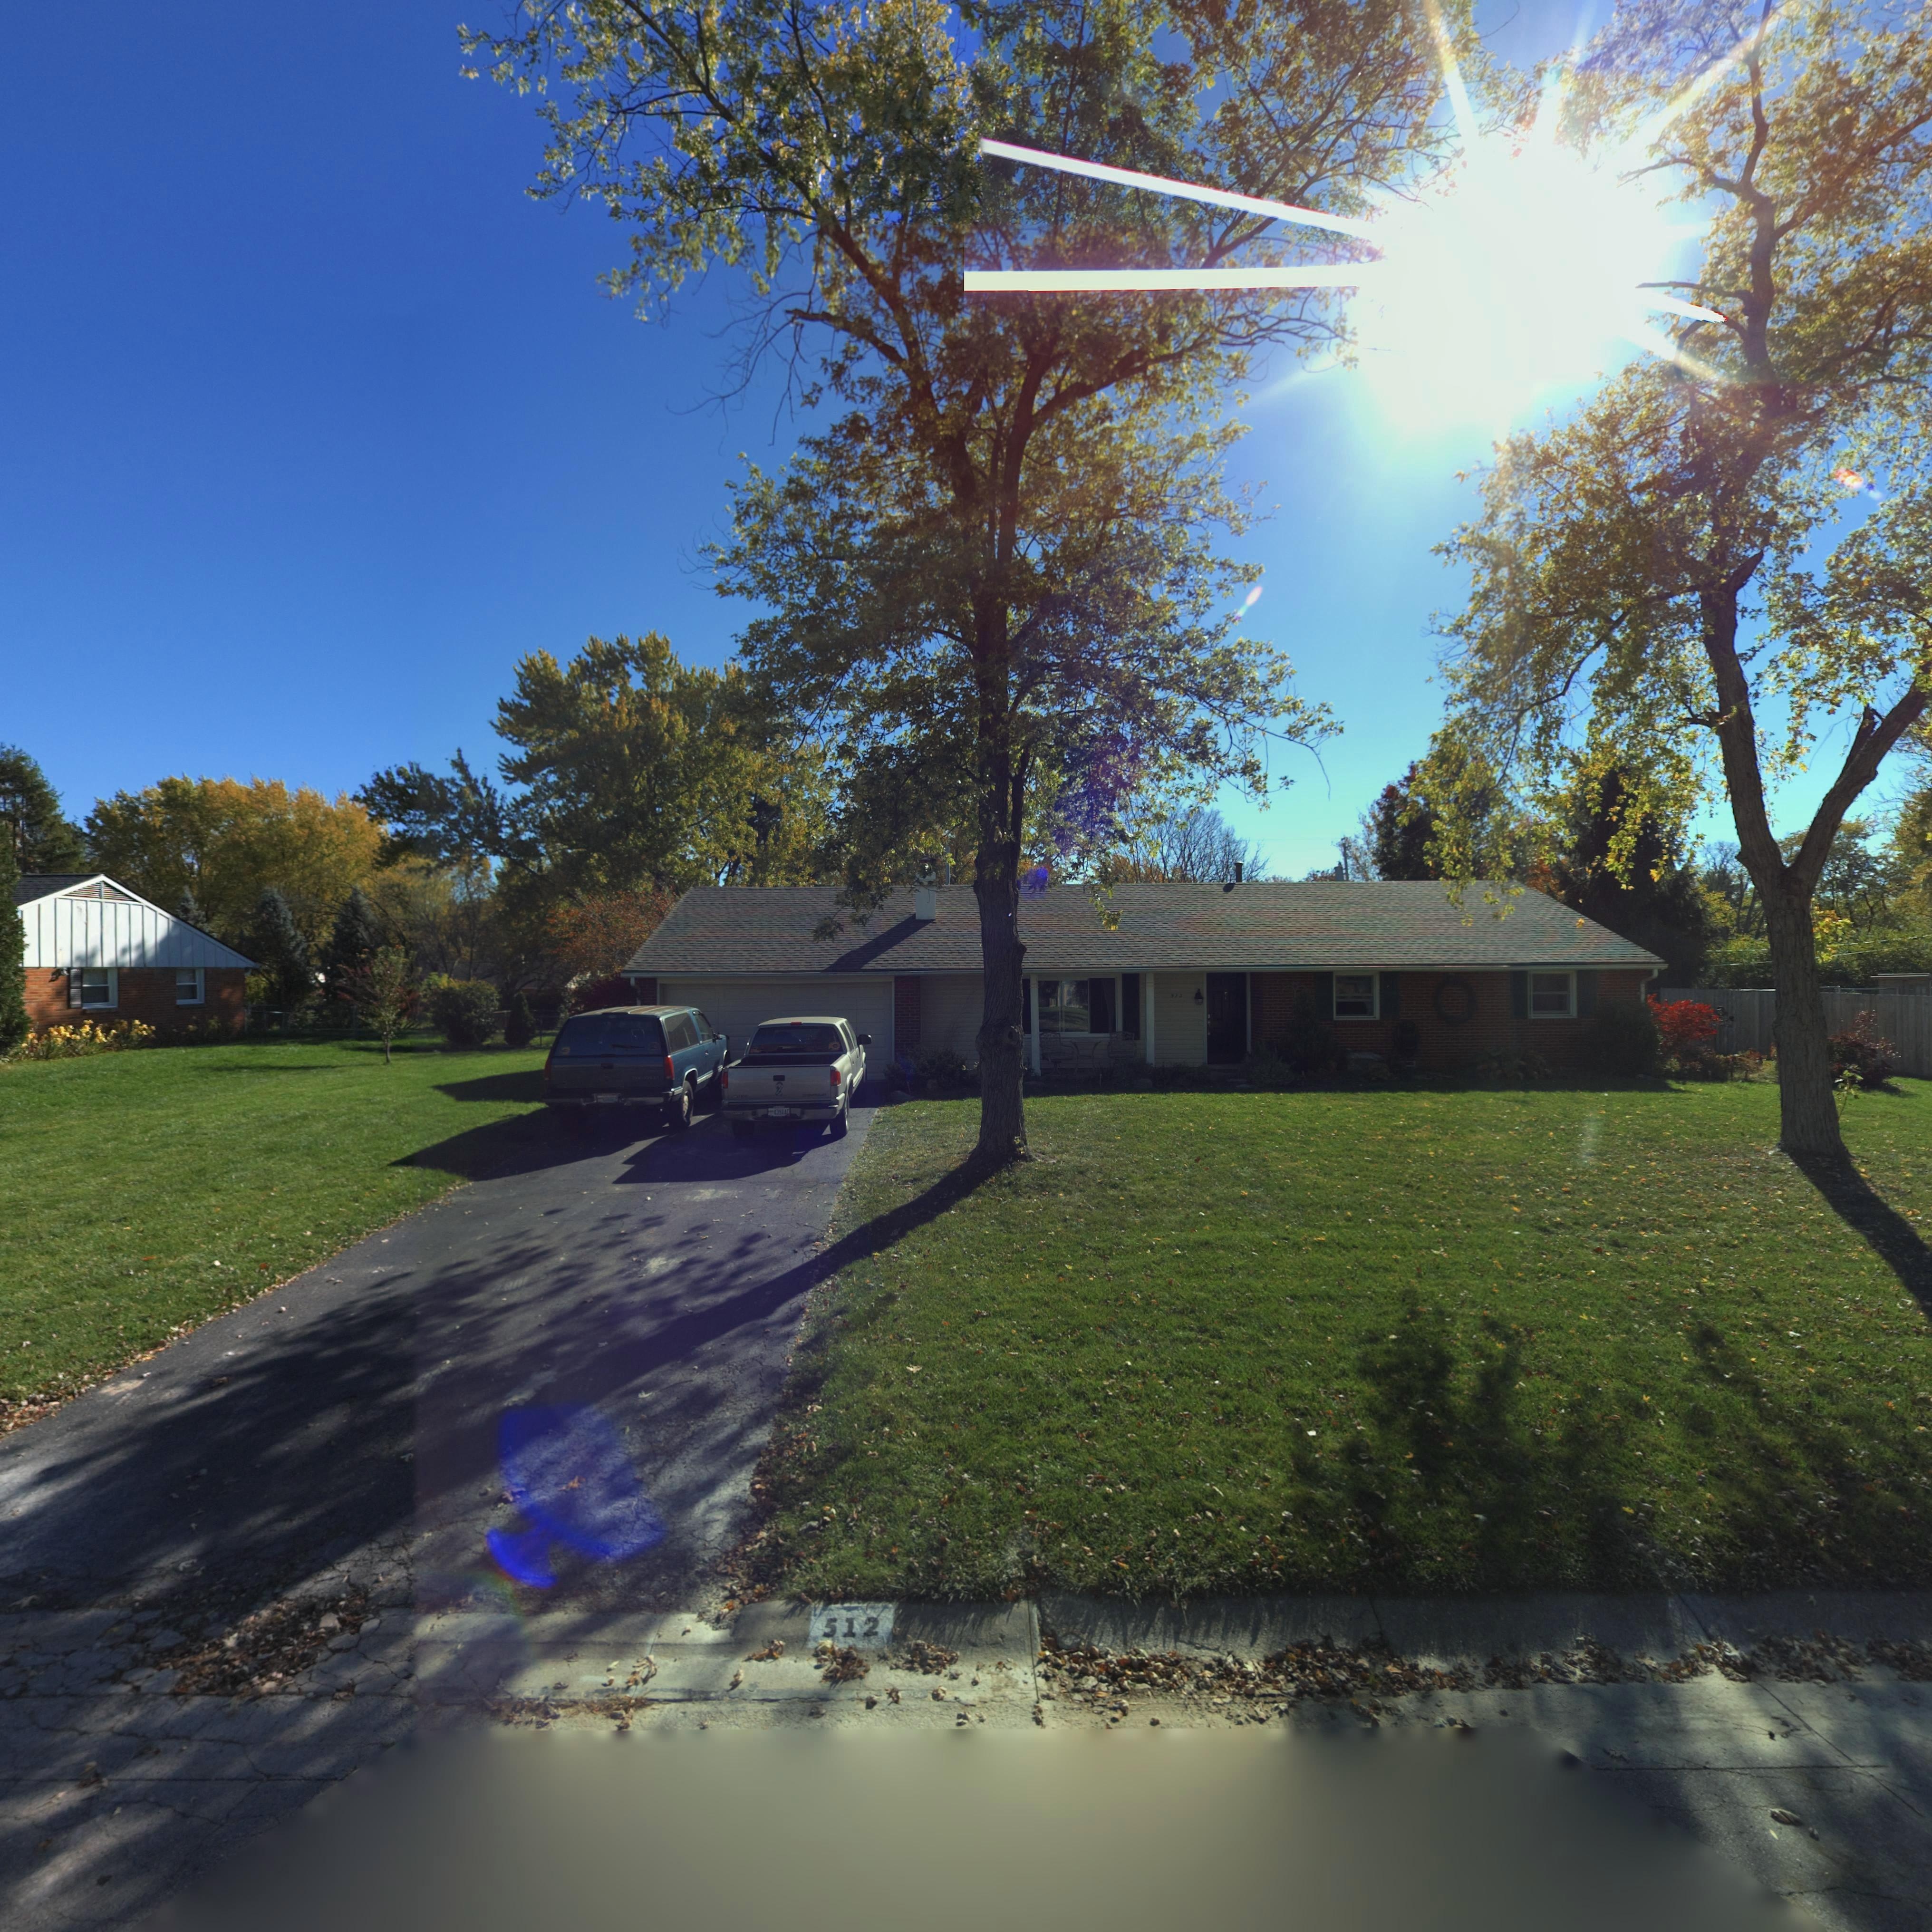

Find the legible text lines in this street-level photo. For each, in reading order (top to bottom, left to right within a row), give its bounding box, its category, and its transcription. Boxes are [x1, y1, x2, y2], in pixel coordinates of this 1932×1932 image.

[1169, 993, 1183, 998] StreetNumber: 512
[821, 1616, 881, 1638] StreetNumber: 512